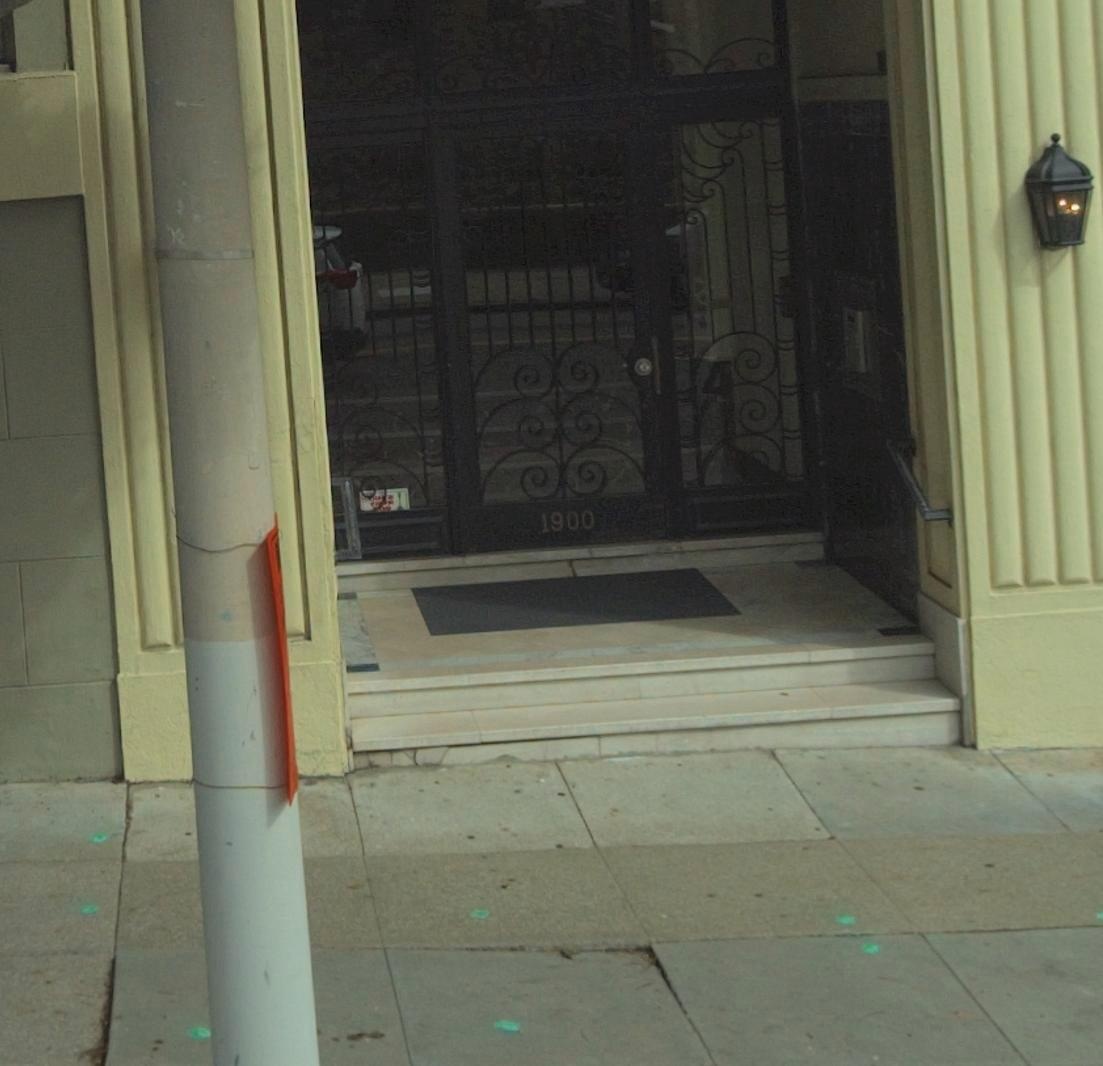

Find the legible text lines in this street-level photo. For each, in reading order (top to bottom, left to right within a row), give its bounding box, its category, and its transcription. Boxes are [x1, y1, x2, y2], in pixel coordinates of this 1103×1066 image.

[538, 507, 598, 536] StreetNumber: 1900